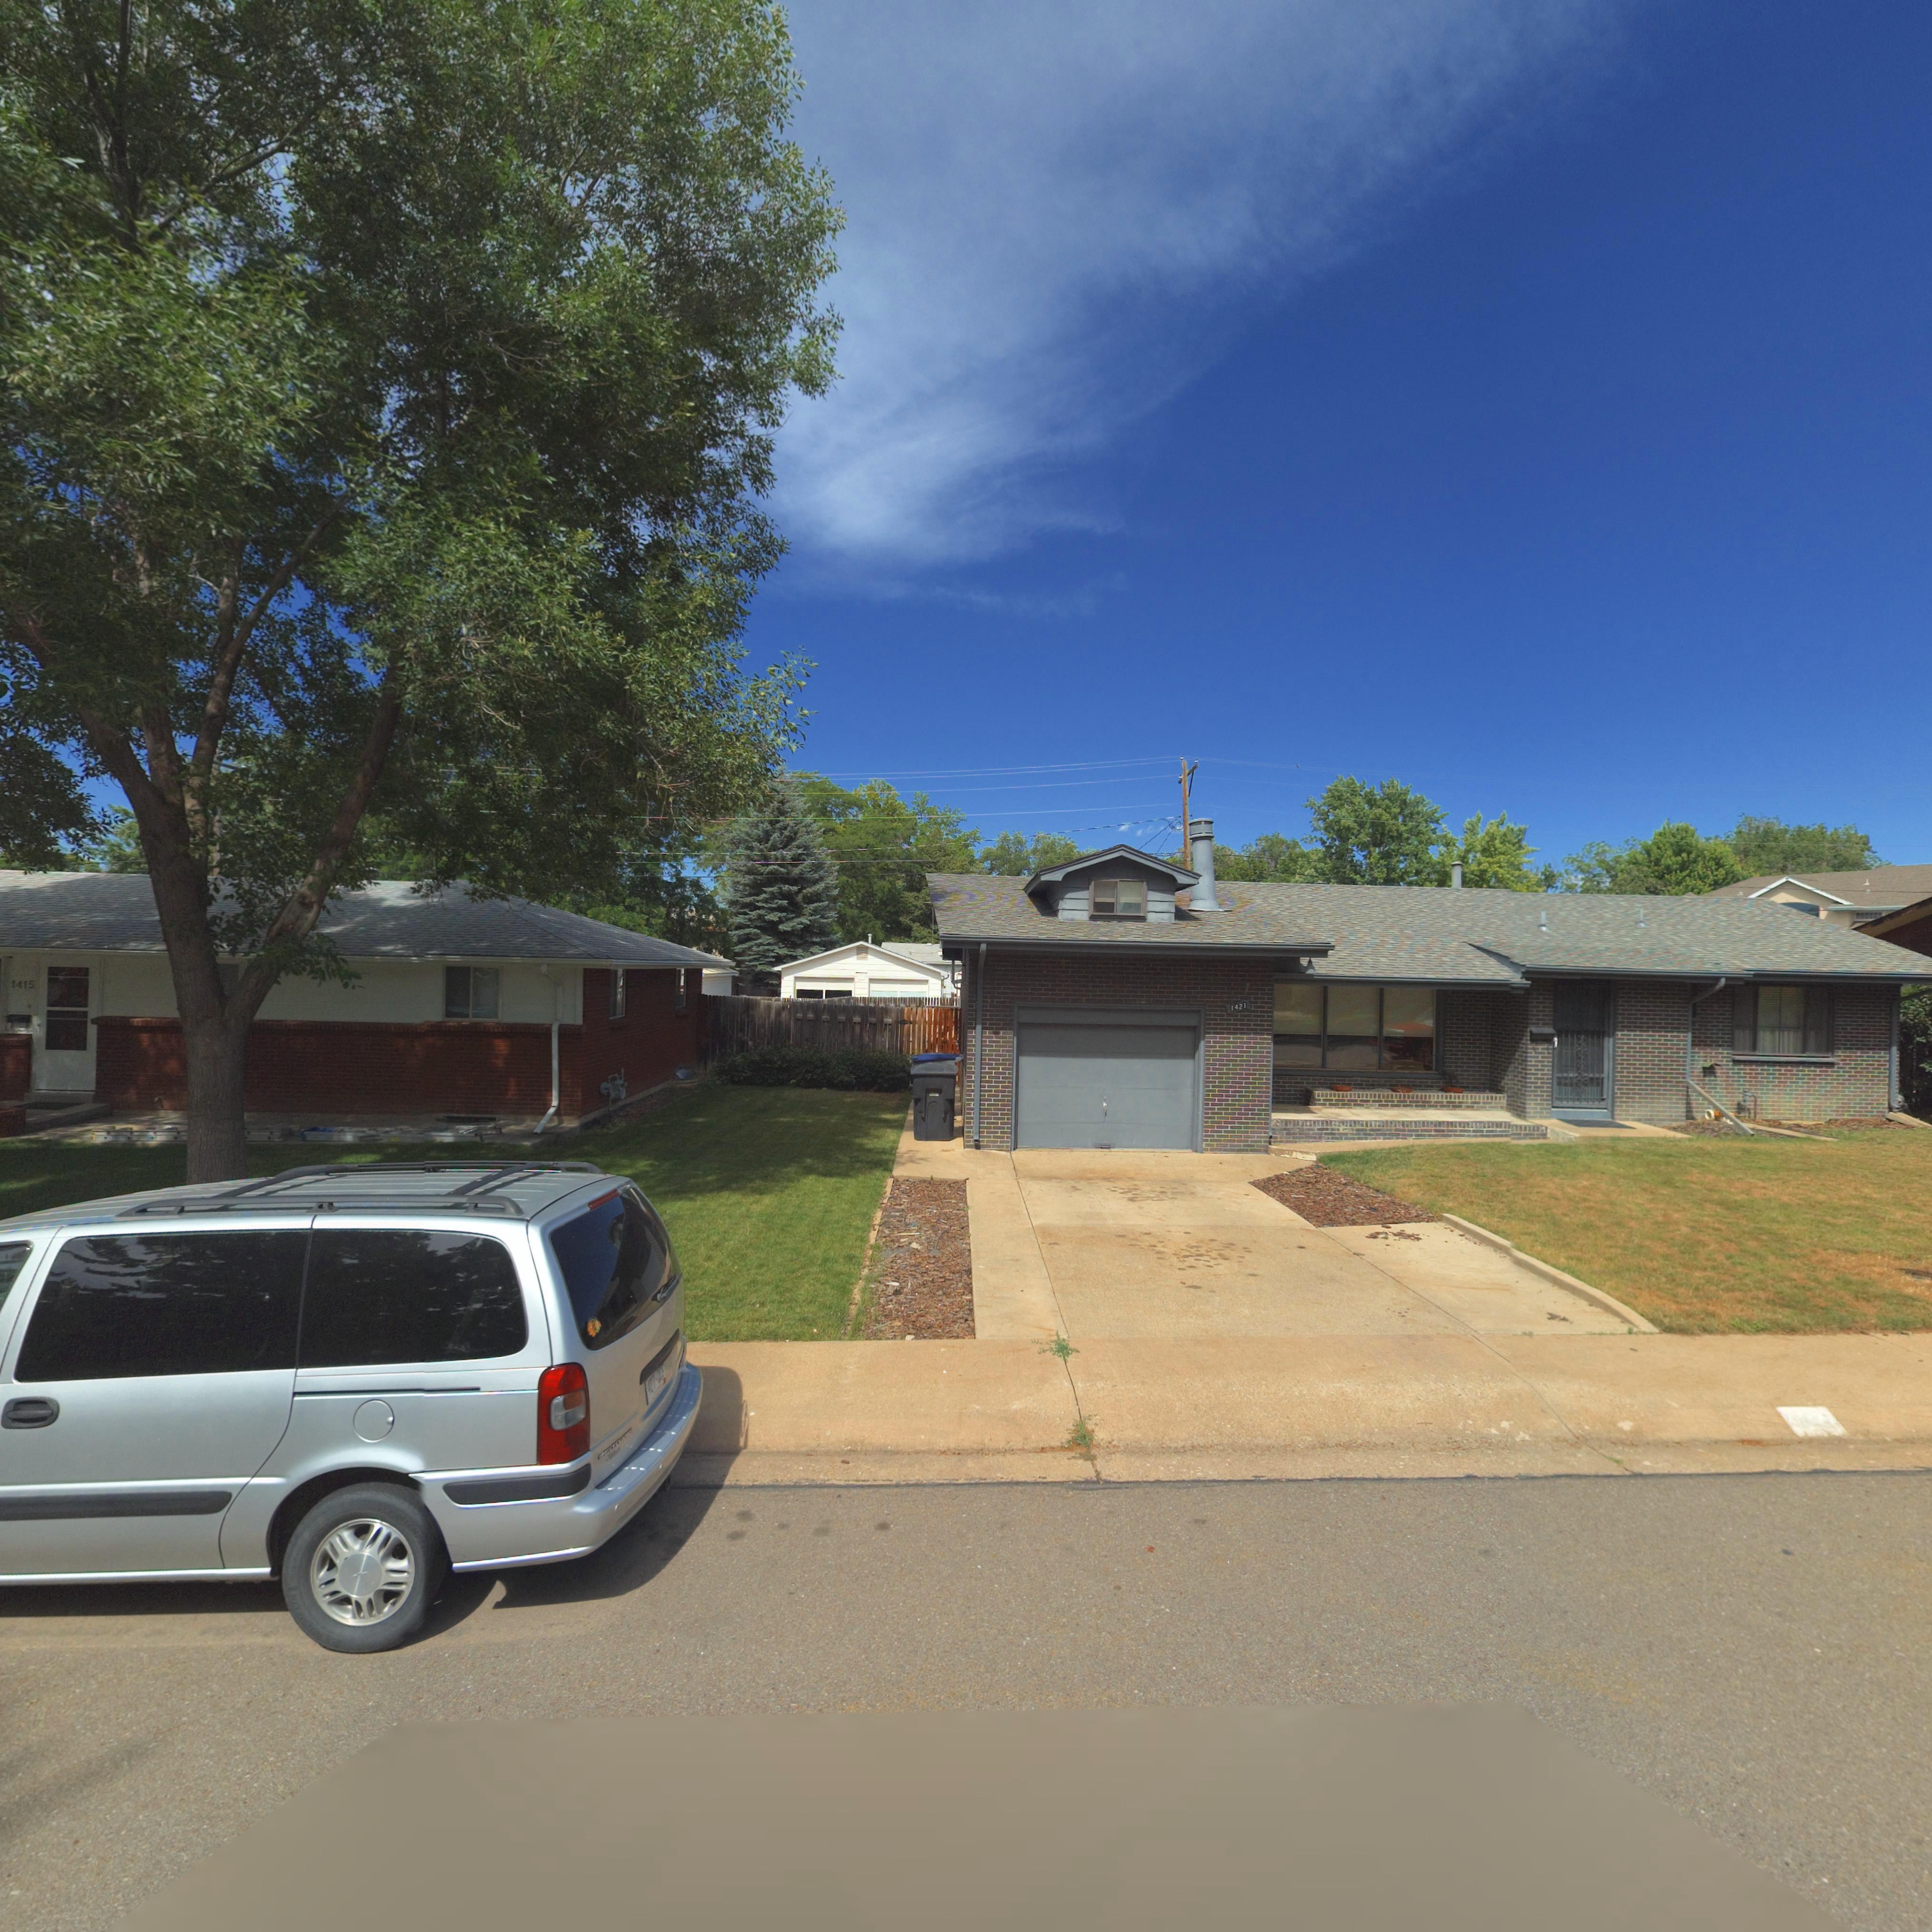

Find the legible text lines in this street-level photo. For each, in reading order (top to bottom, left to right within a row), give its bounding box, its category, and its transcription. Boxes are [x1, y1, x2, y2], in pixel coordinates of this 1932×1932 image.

[10, 979, 36, 989] StreetNumber: 1415
[1231, 1002, 1246, 1011] StreetNumber: 1421